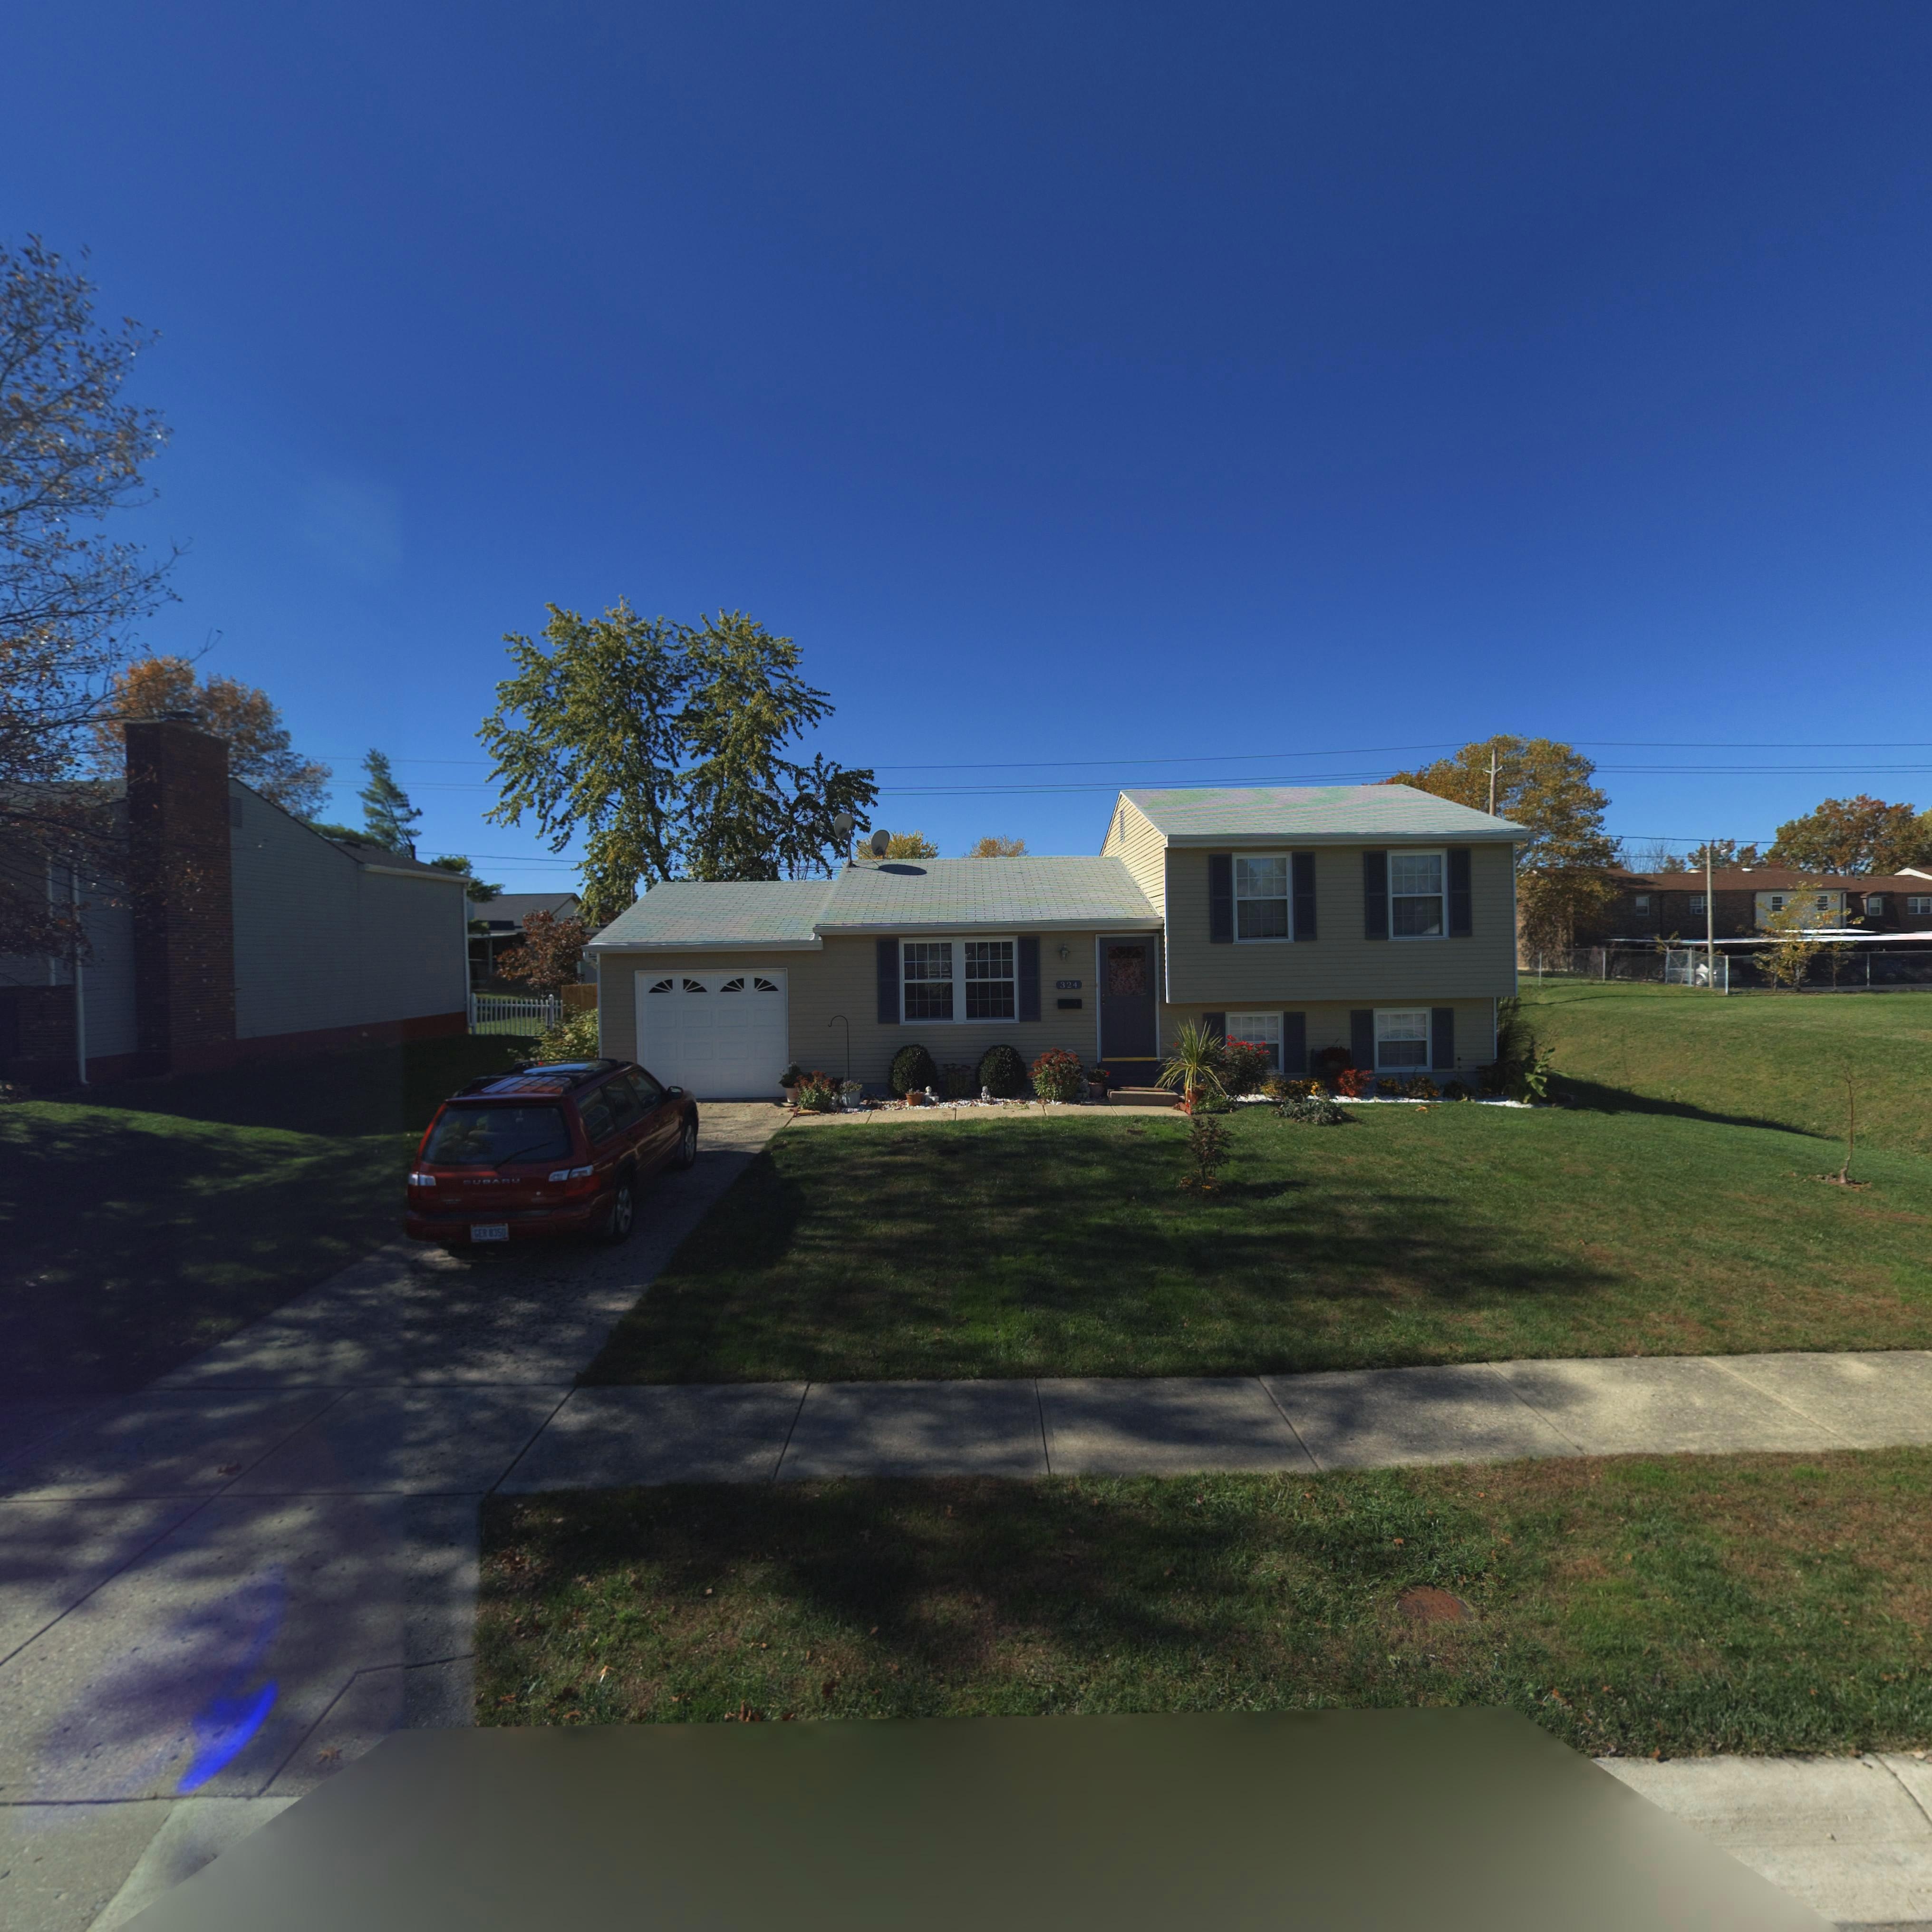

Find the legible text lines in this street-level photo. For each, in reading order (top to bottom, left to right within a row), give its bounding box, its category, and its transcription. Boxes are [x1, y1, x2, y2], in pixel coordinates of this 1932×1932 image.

[1059, 980, 1078, 989] StreetNumber: 324